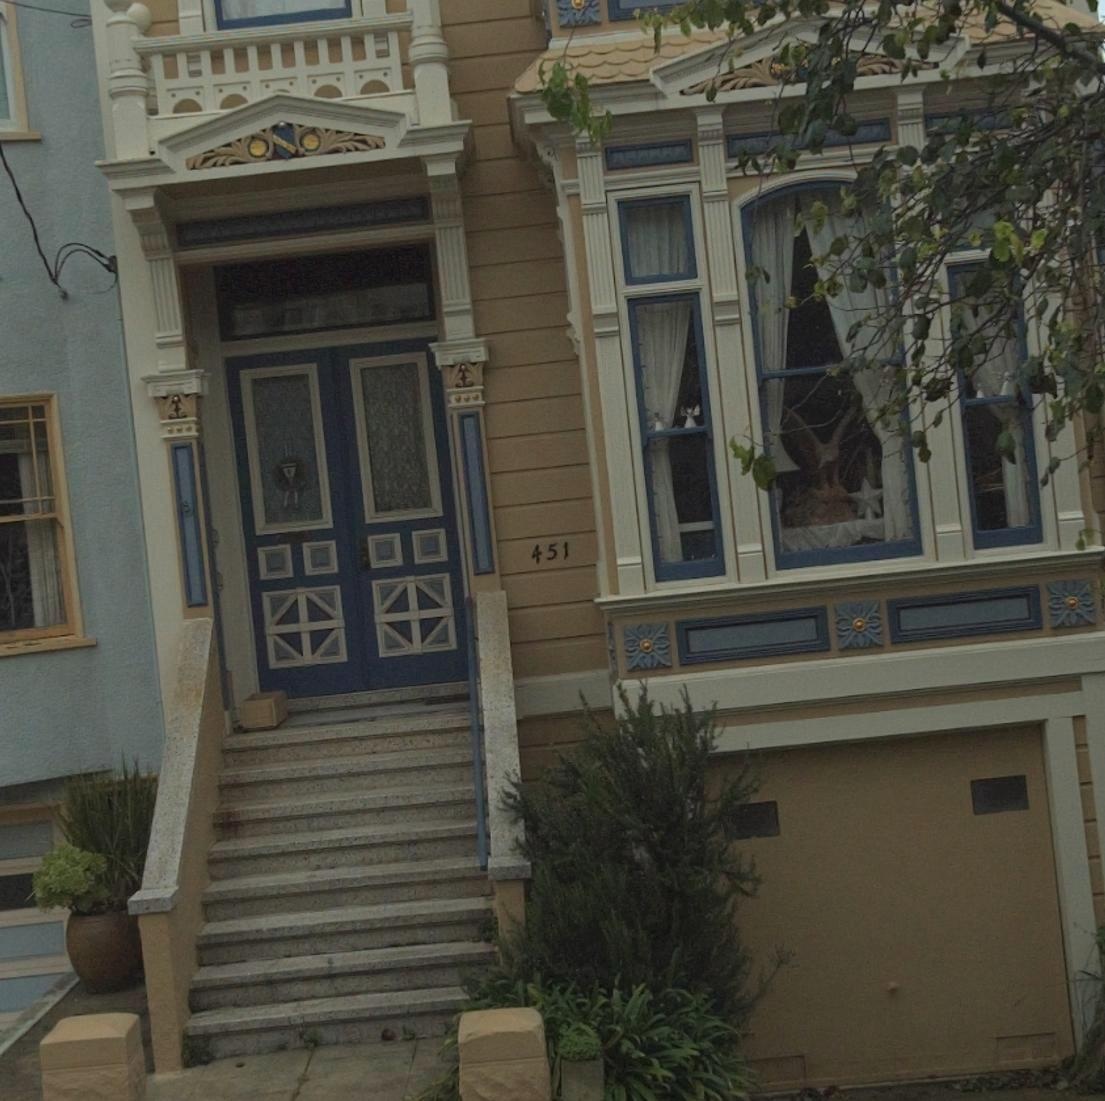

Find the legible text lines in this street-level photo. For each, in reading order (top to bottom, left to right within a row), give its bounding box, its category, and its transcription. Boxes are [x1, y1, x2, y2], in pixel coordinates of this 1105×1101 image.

[530, 540, 571, 566] StreetNumber: 451